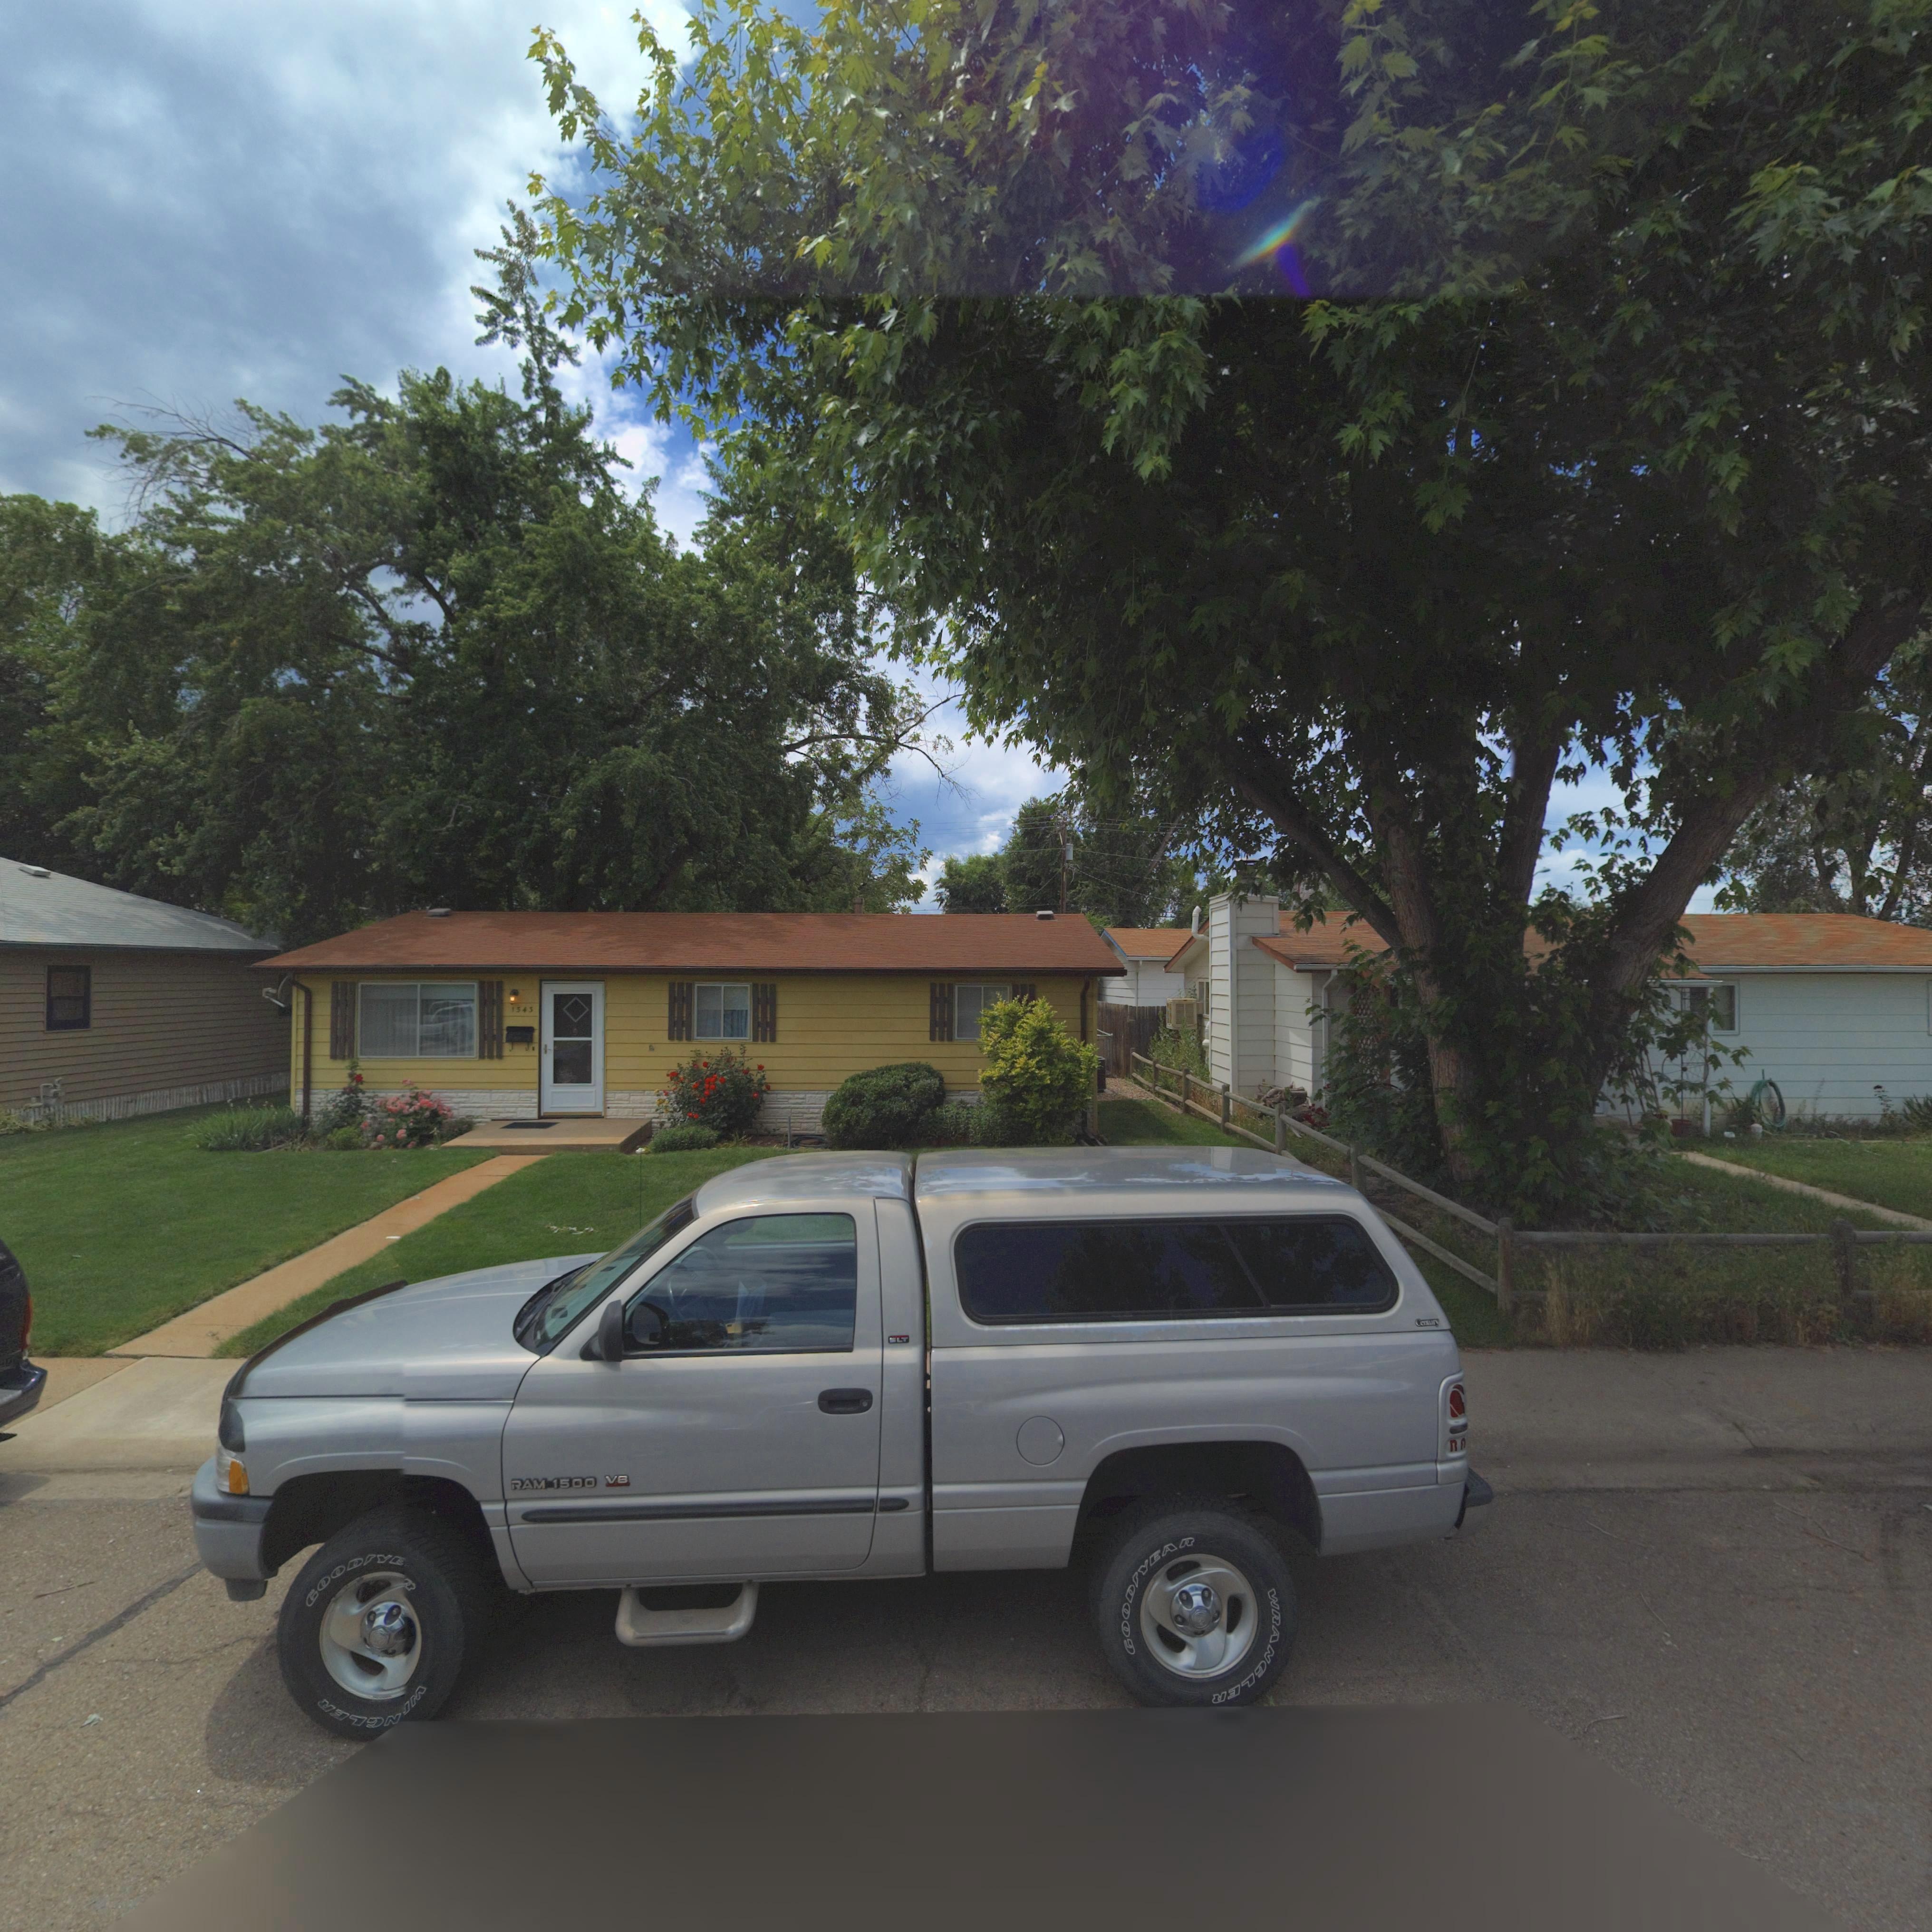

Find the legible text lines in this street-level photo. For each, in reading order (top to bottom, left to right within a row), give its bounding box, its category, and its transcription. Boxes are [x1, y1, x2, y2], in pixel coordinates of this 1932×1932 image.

[511, 1006, 534, 1013] StreetNumber: 1545